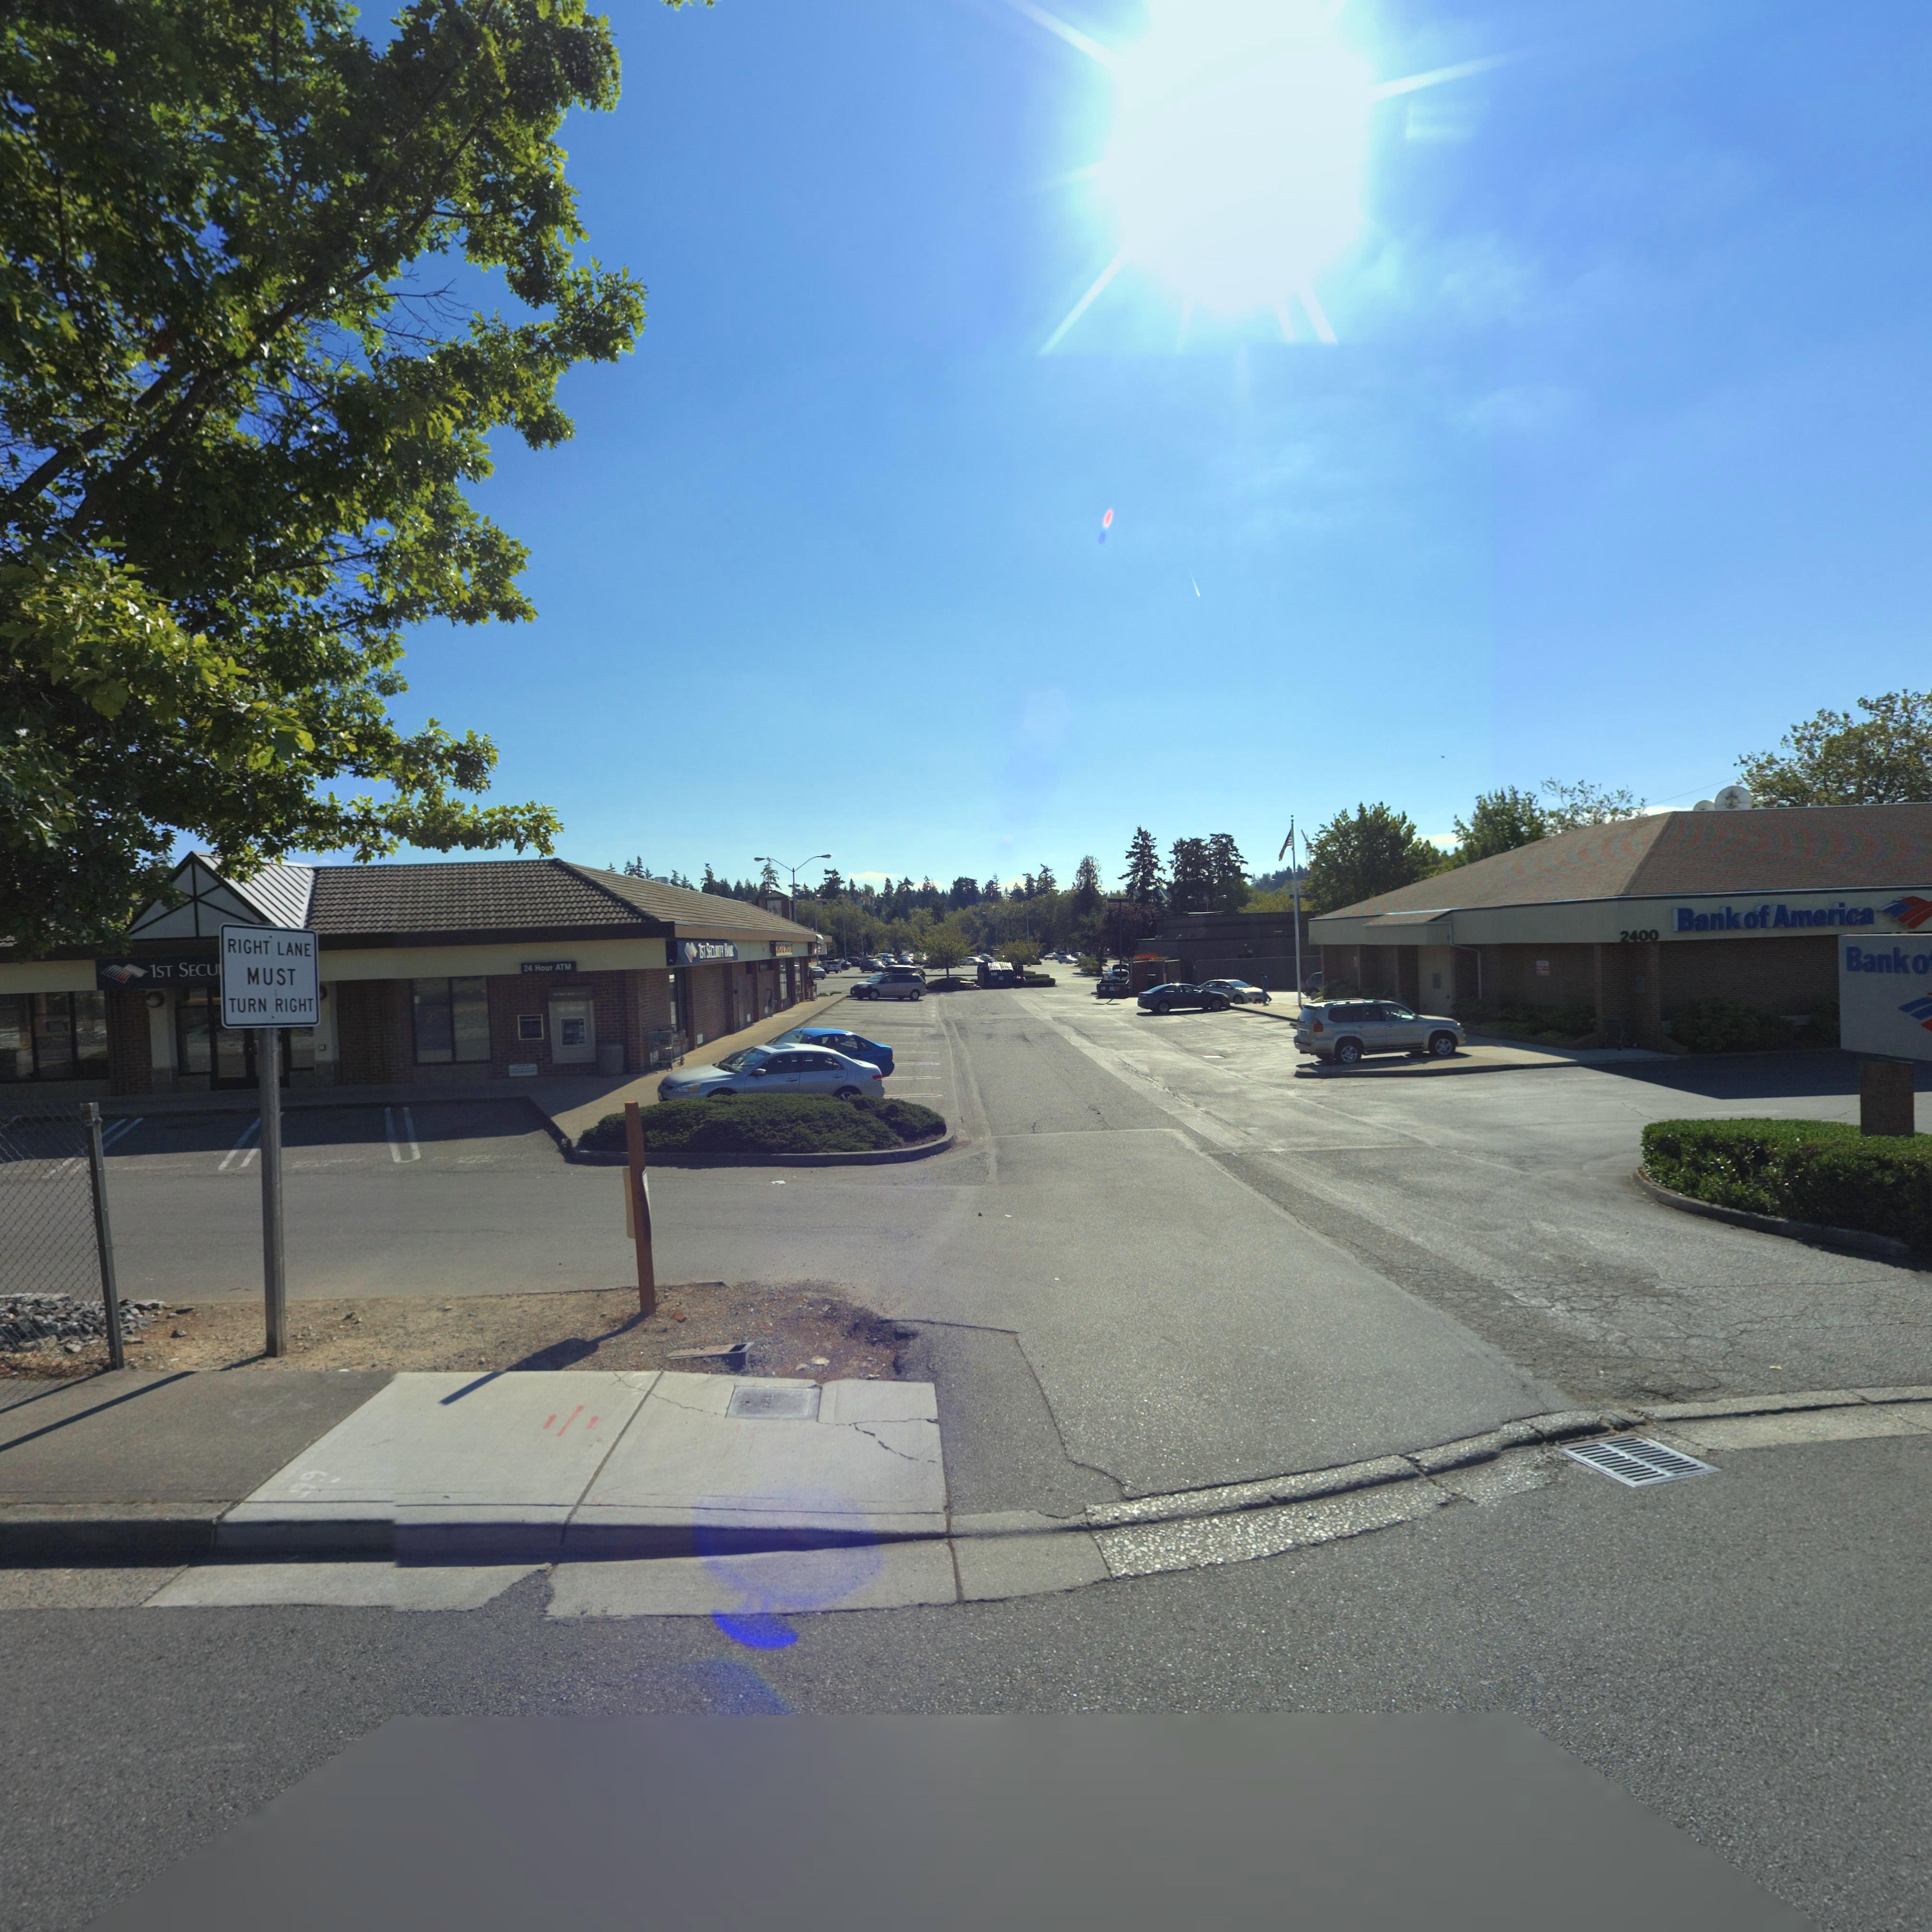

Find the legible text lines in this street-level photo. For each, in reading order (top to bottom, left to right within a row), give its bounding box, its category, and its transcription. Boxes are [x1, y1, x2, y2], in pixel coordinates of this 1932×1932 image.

[1675, 900, 1876, 934] BusinessName: Bank of America
[1620, 928, 1659, 942] StreetNumber: 2400
[150, 958, 219, 979] BusinessName: 1ST SECU
[698, 943, 706, 959] BusinessName: 1ST
[1846, 946, 1928, 974] BusinessName: Bank o